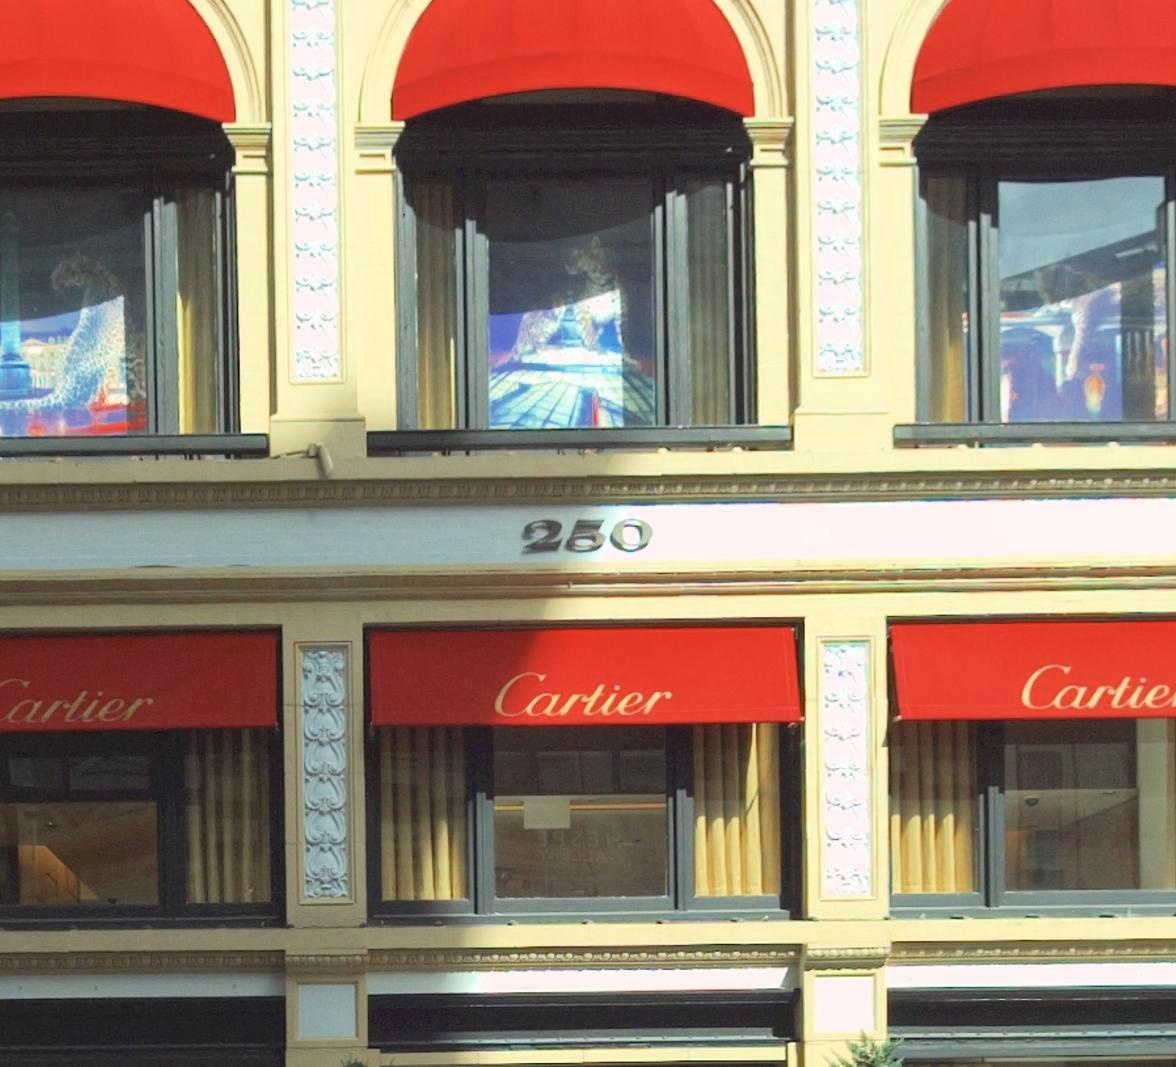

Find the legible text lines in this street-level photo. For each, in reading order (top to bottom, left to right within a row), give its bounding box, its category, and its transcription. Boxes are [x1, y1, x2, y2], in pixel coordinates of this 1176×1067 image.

[516, 516, 659, 556] StreetNumber: 250
[1, 684, 162, 728] BusinessName: artier
[482, 663, 681, 719] BusinessName: Cartier
[1013, 656, 1176, 714] BusinessName: Cartie
[537, 845, 612, 867] None: Y****A
[535, 826, 629, 852] None: ****H